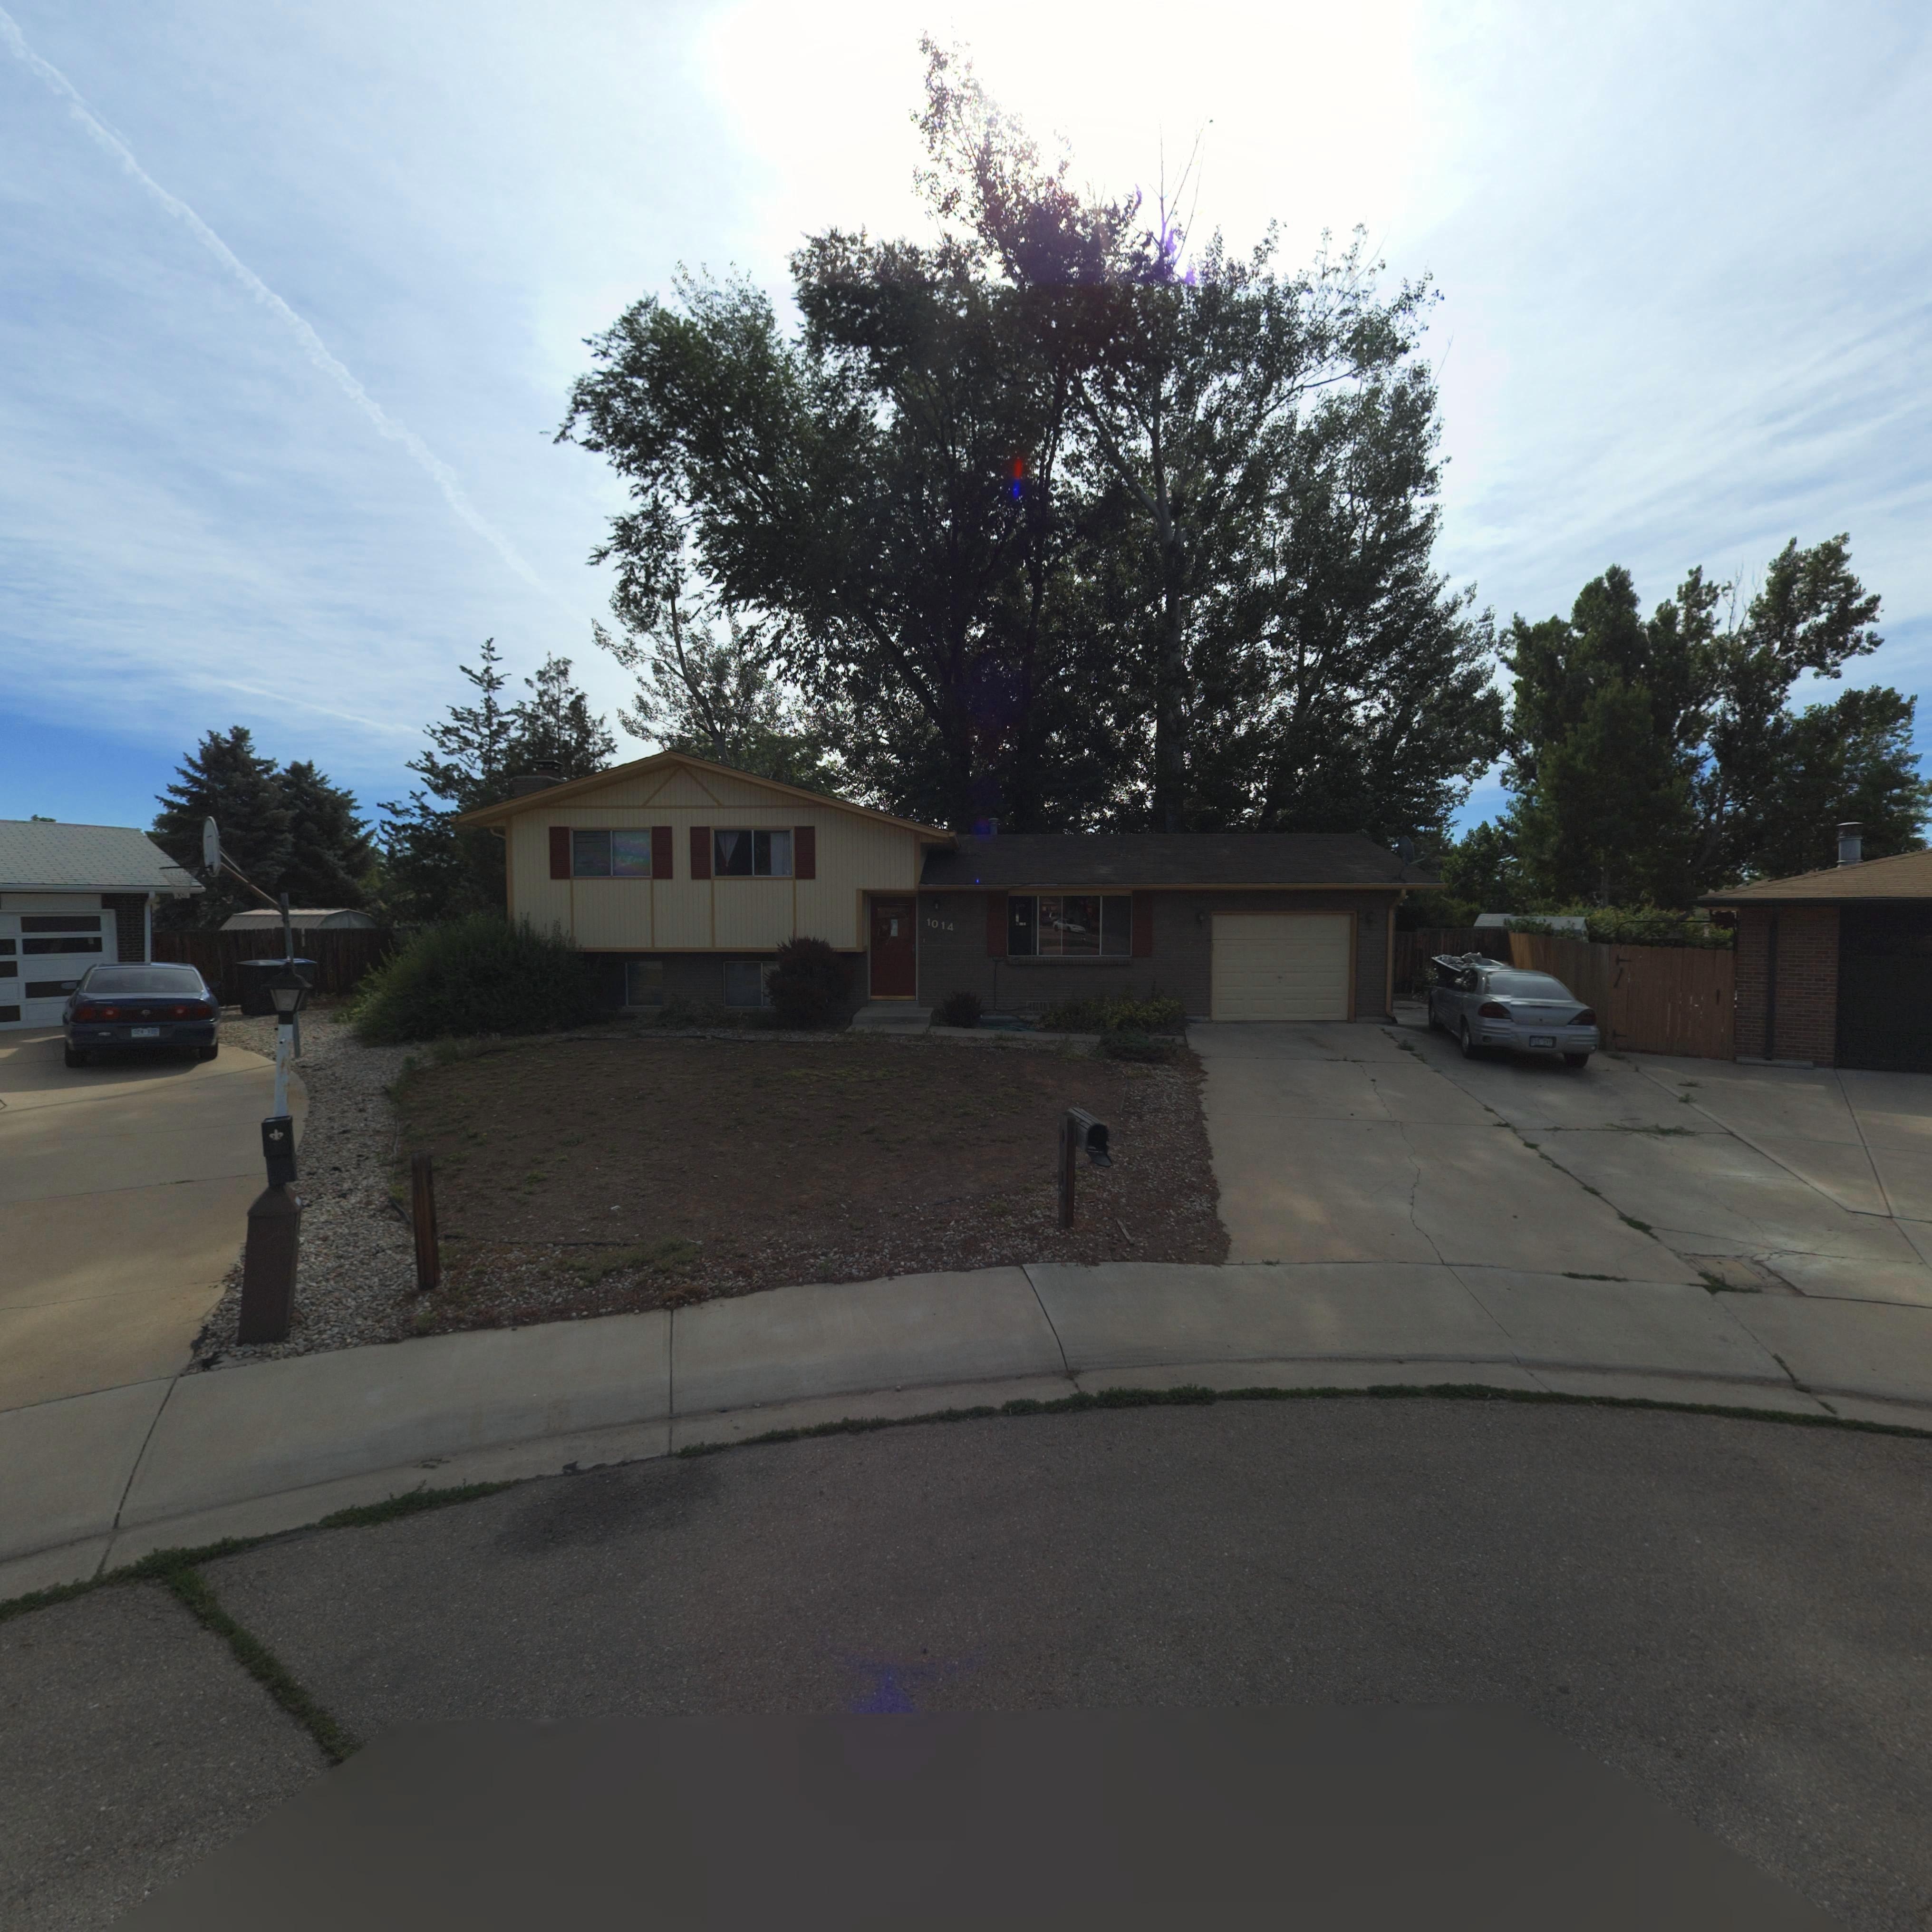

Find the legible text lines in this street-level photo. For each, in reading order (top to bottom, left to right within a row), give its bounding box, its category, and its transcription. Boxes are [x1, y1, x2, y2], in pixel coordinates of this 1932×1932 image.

[926, 918, 954, 931] StreetNumber: 1014